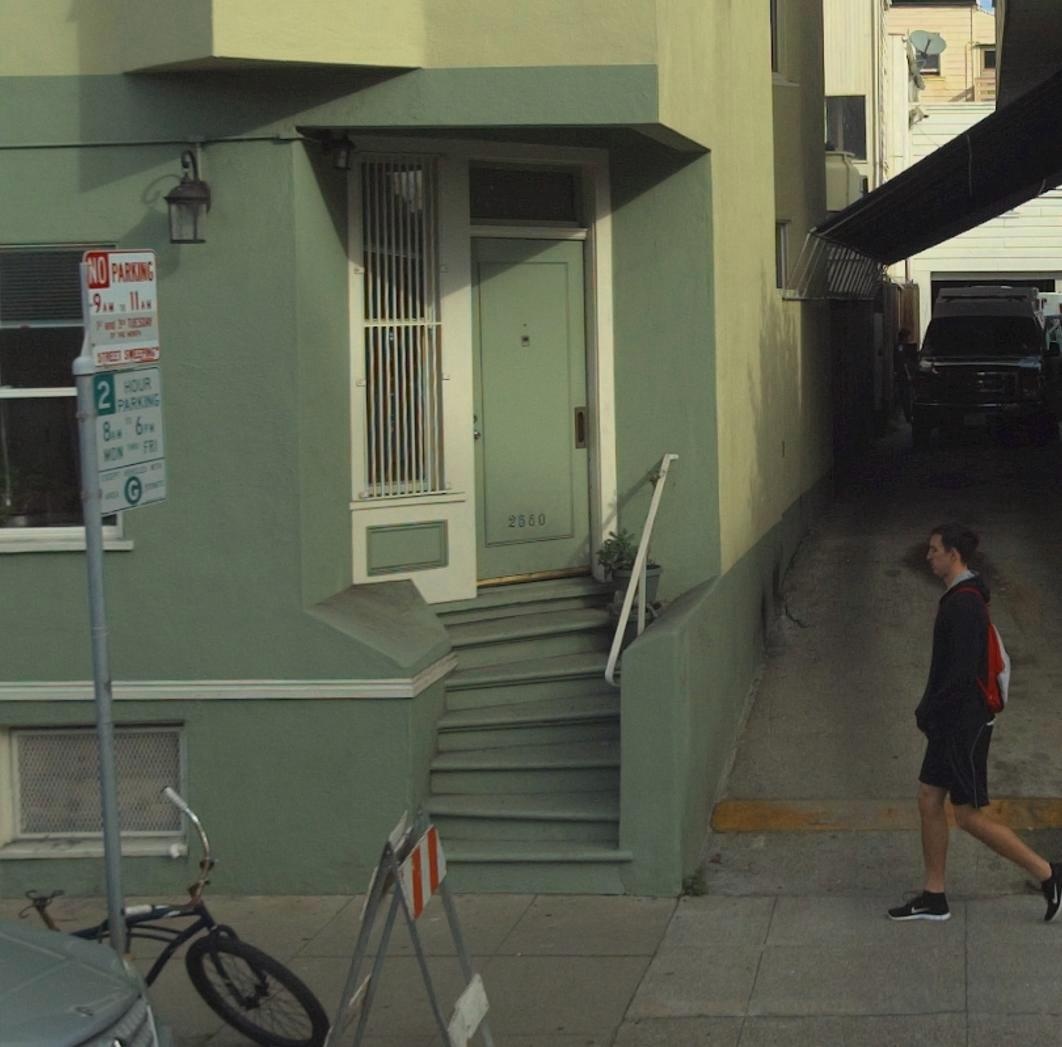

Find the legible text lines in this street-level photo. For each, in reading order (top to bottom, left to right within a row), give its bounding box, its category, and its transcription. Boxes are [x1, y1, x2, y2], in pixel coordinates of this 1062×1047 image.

[83, 251, 158, 289] None: NO PARKING
[89, 288, 156, 317] None: 9AM ** 11AM
[92, 375, 116, 416] None: 2
[120, 372, 156, 398] None: HOUR
[115, 389, 163, 416] None: PARKING
[99, 410, 159, 447] None: 8AM ** 6PM
[124, 475, 143, 506] None: G
[505, 510, 550, 531] StreetNumber: 25*0